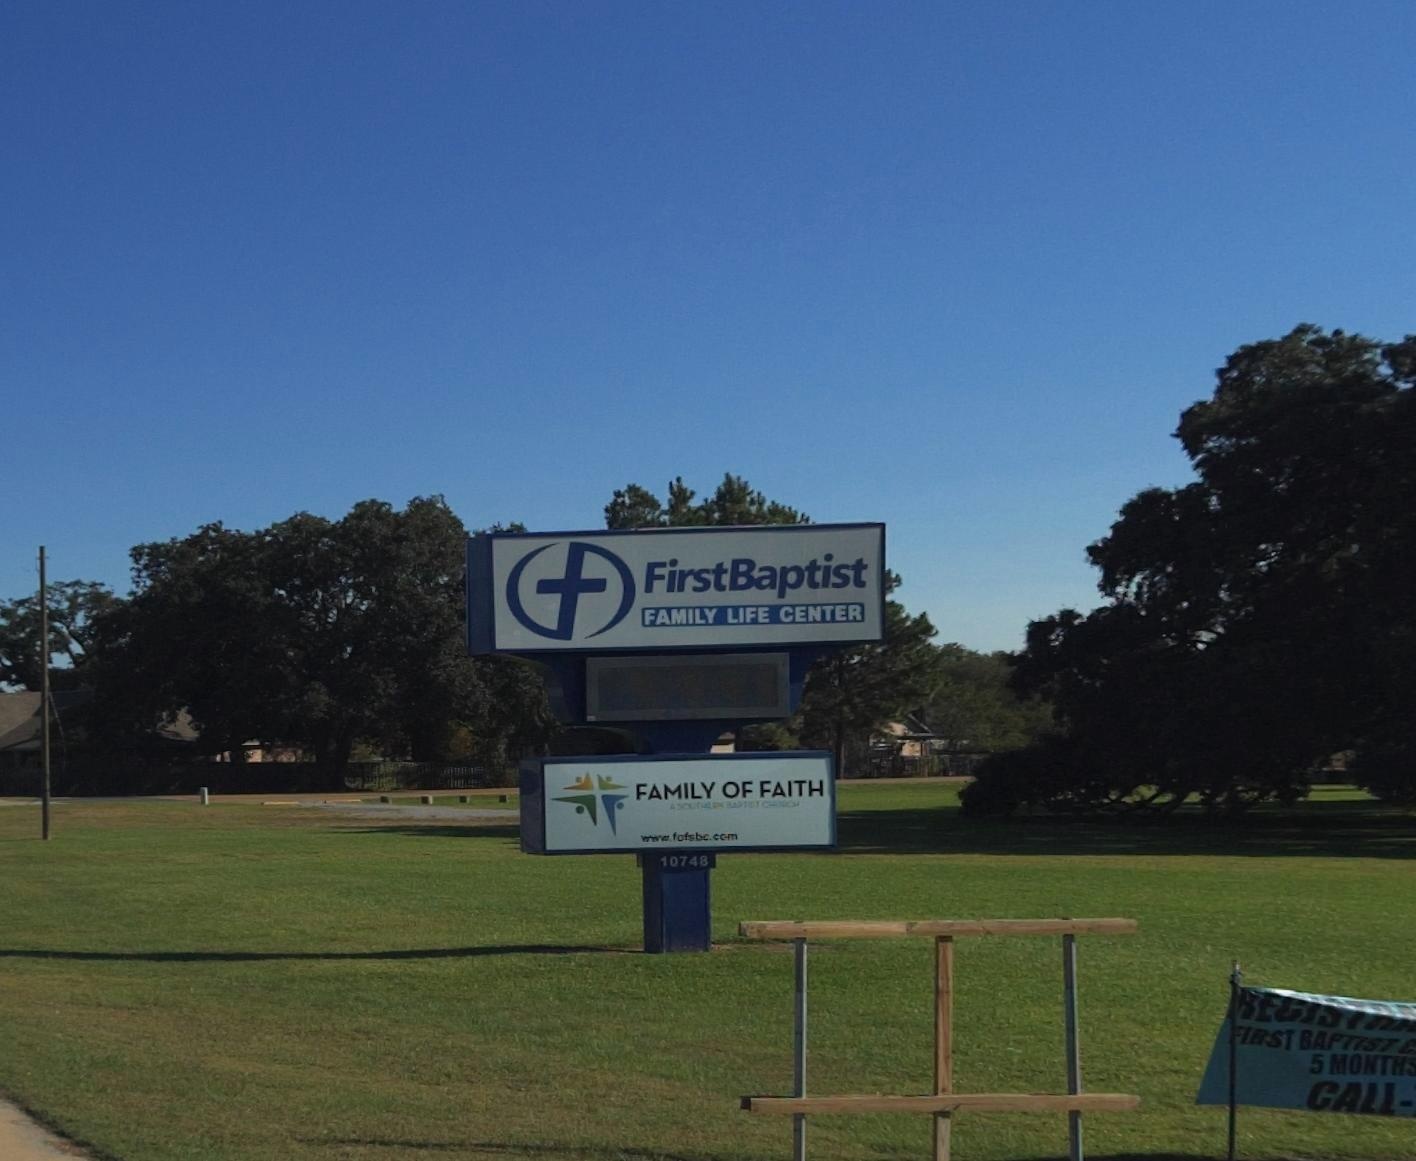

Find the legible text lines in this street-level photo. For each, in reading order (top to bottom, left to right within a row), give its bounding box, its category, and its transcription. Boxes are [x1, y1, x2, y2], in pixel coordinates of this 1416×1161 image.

[643, 551, 868, 599] BusinessName: FirstBaptist
[643, 603, 864, 627] BusinessName: FAMILY LIFE CENTER
[635, 778, 825, 802] BusinessName: FAMILY OF FAITH
[666, 798, 802, 813] None: A SOUT**** BAPT**T C***CH
[639, 830, 739, 844] None: www.fofsbc.com
[659, 854, 711, 869] None: 10748
[1252, 989, 1285, 1024] None: E
[1228, 1024, 1408, 1055] None: FIRST BAPTIST
[1305, 1052, 1409, 1079] None: 5 MONTH
[1304, 1077, 1398, 1118] None: CALL